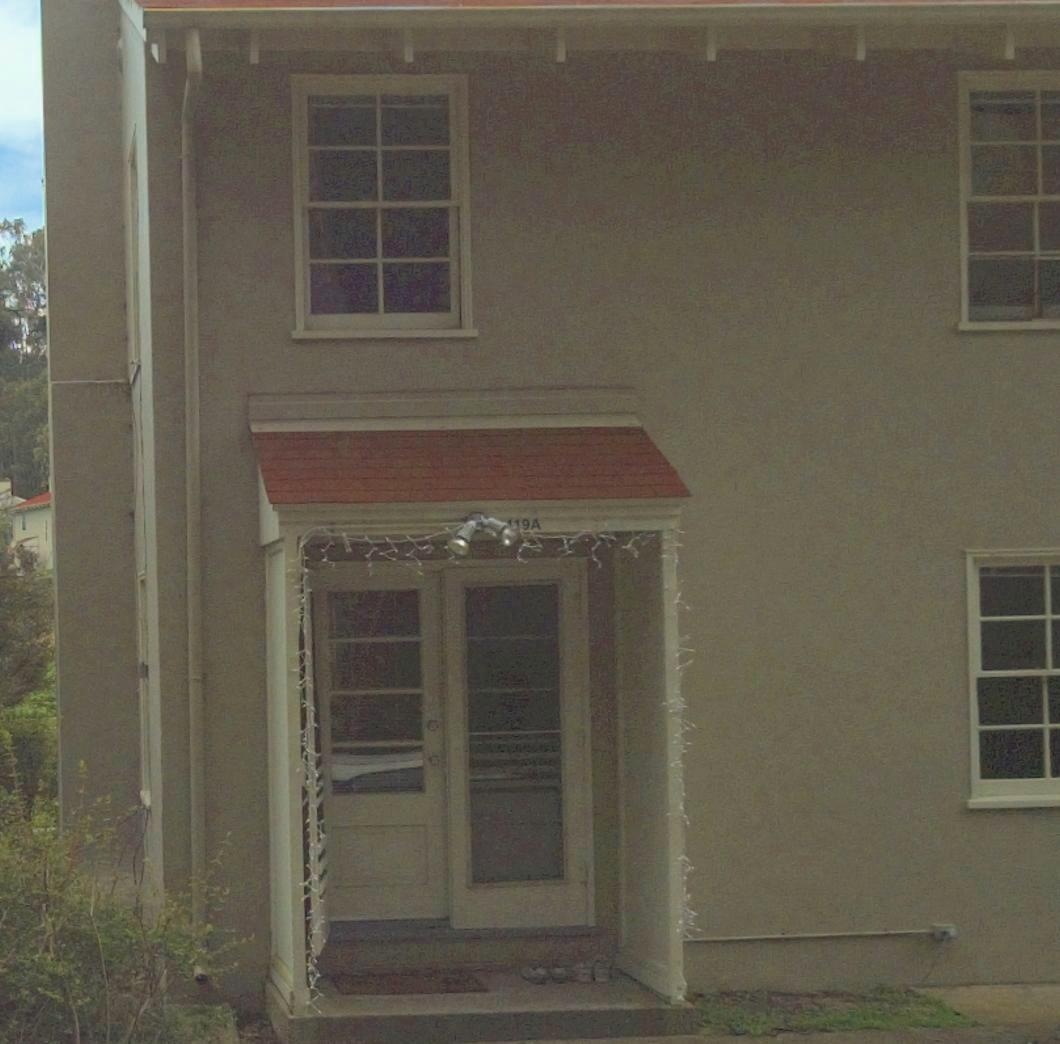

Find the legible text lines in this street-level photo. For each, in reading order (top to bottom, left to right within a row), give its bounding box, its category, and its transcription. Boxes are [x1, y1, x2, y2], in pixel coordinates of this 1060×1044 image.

[504, 517, 543, 532] StreetNumber: *19A